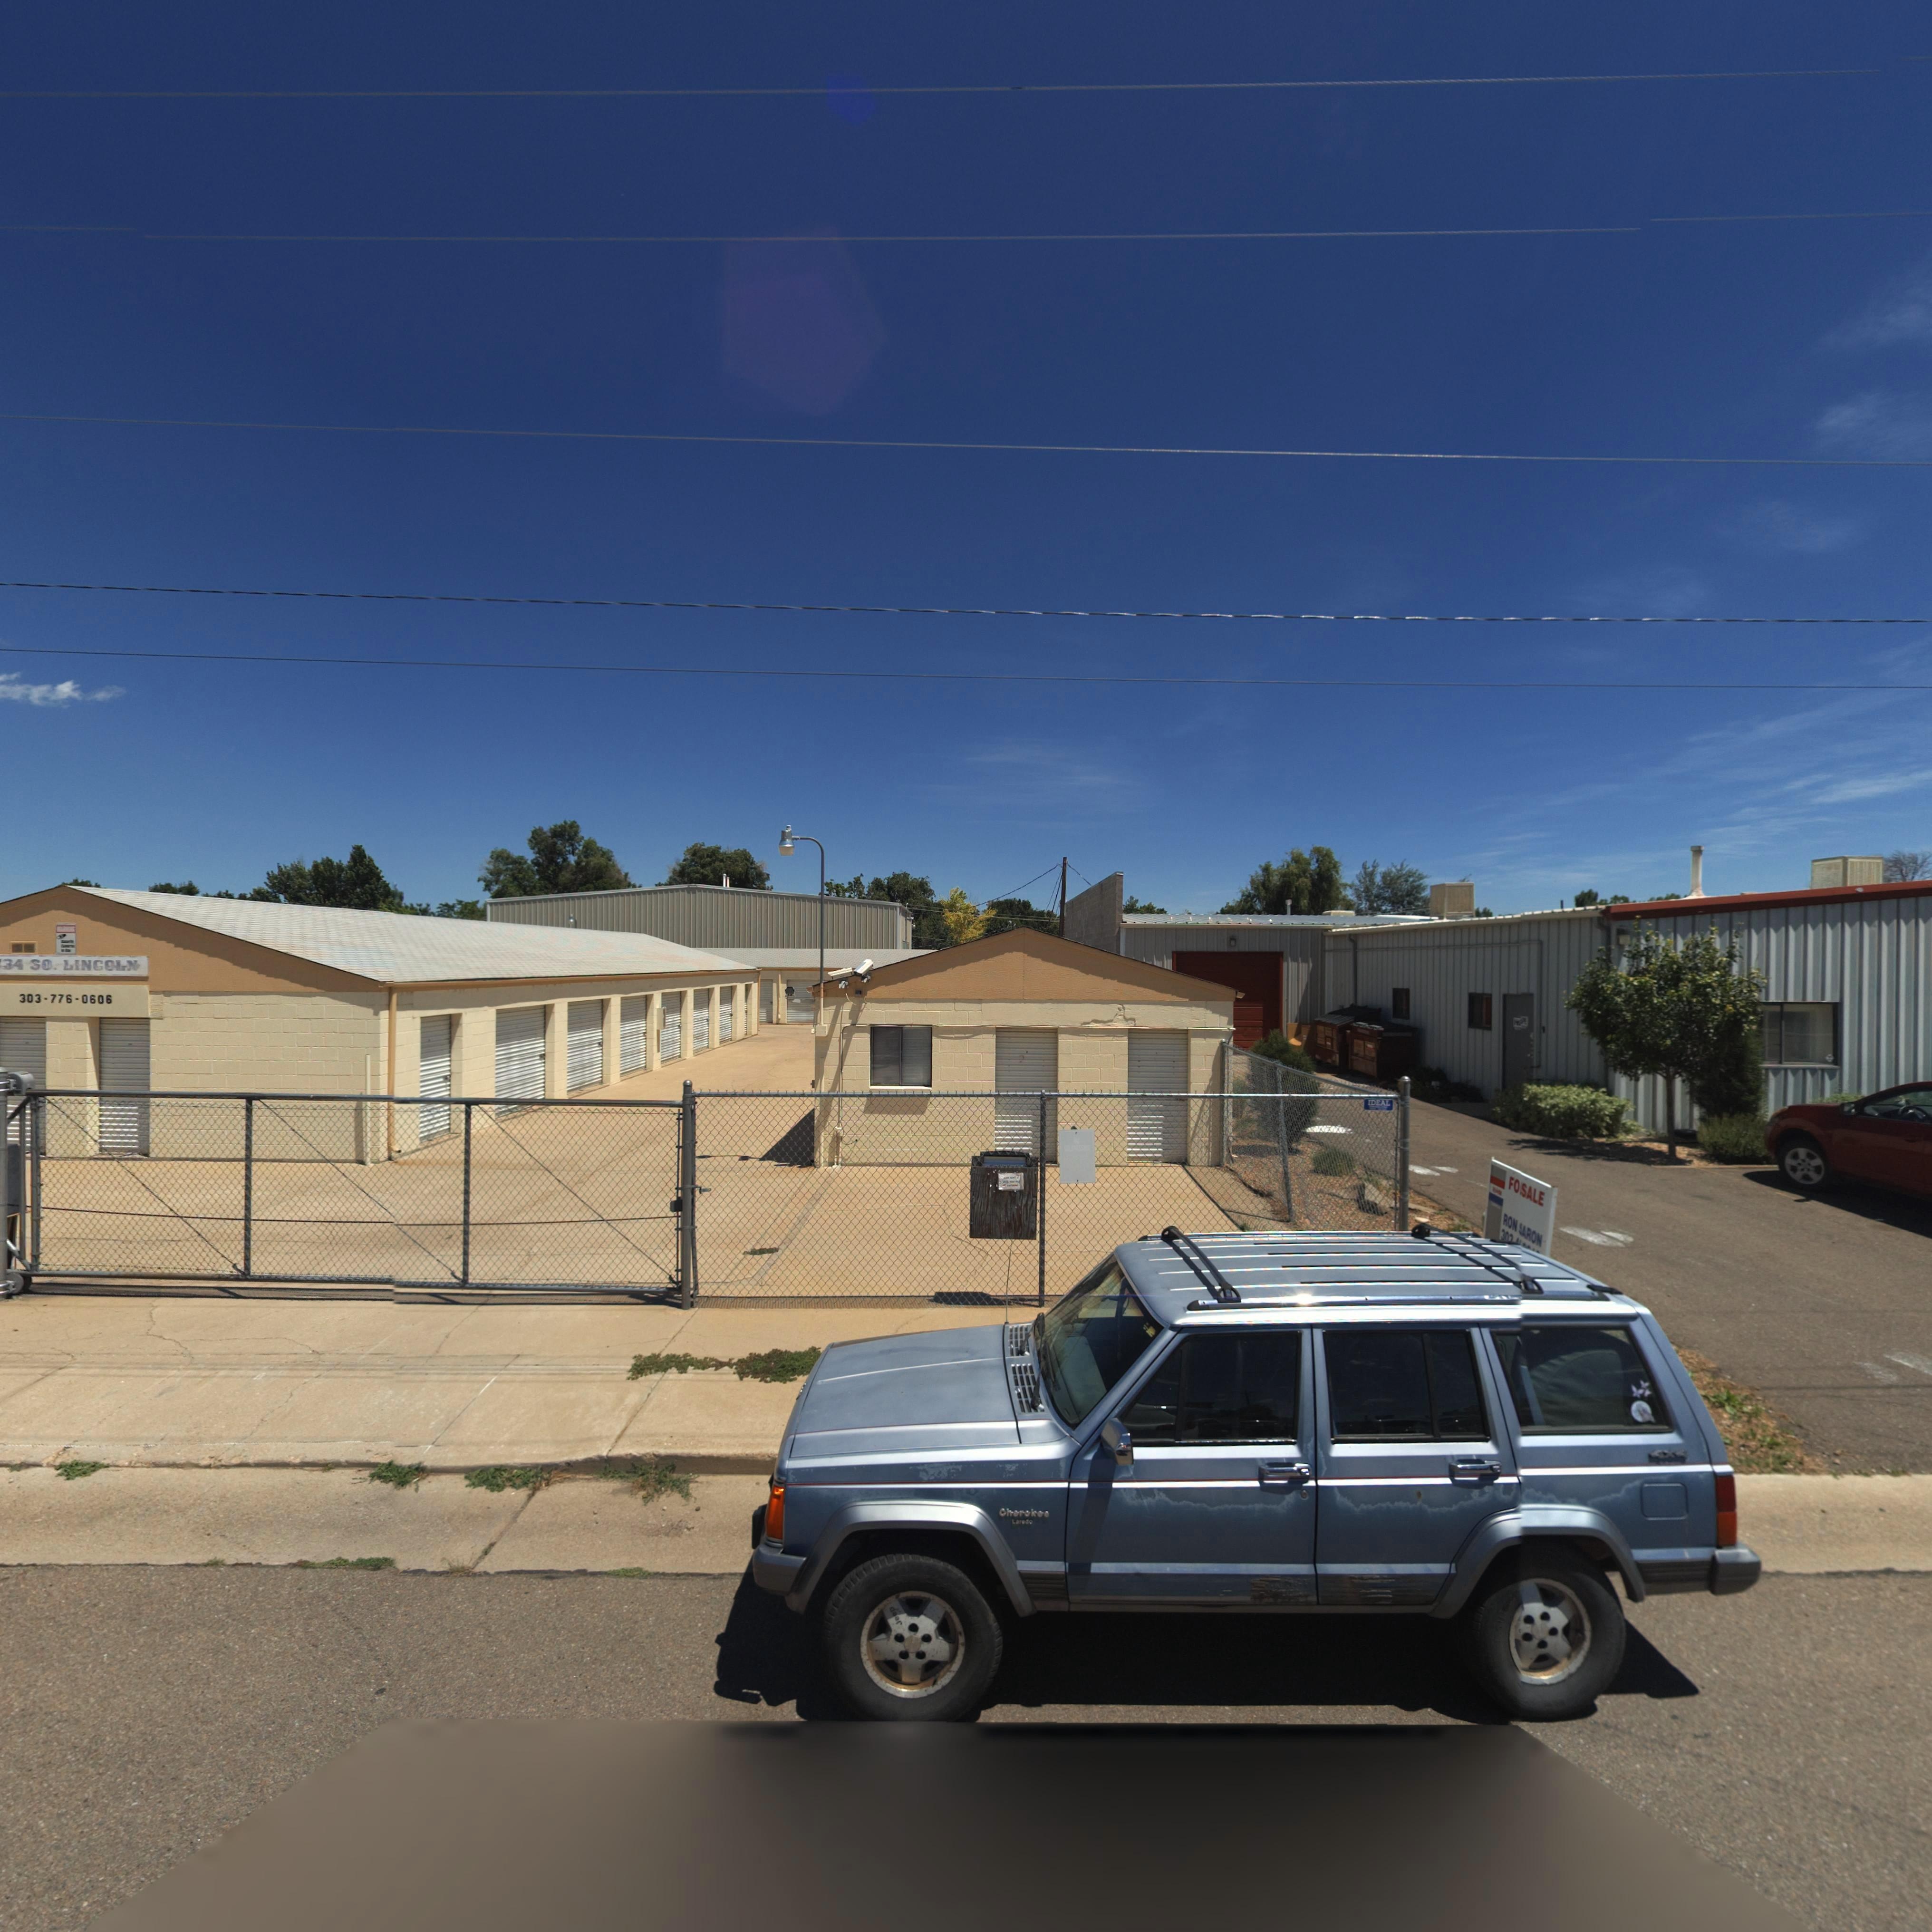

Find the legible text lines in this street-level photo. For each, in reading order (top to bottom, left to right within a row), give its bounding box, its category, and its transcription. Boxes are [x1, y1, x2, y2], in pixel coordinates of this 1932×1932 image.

[3, 958, 24, 970] StreetNumber: 34
[29, 958, 138, 971] StreetName: SO. LINCOLN